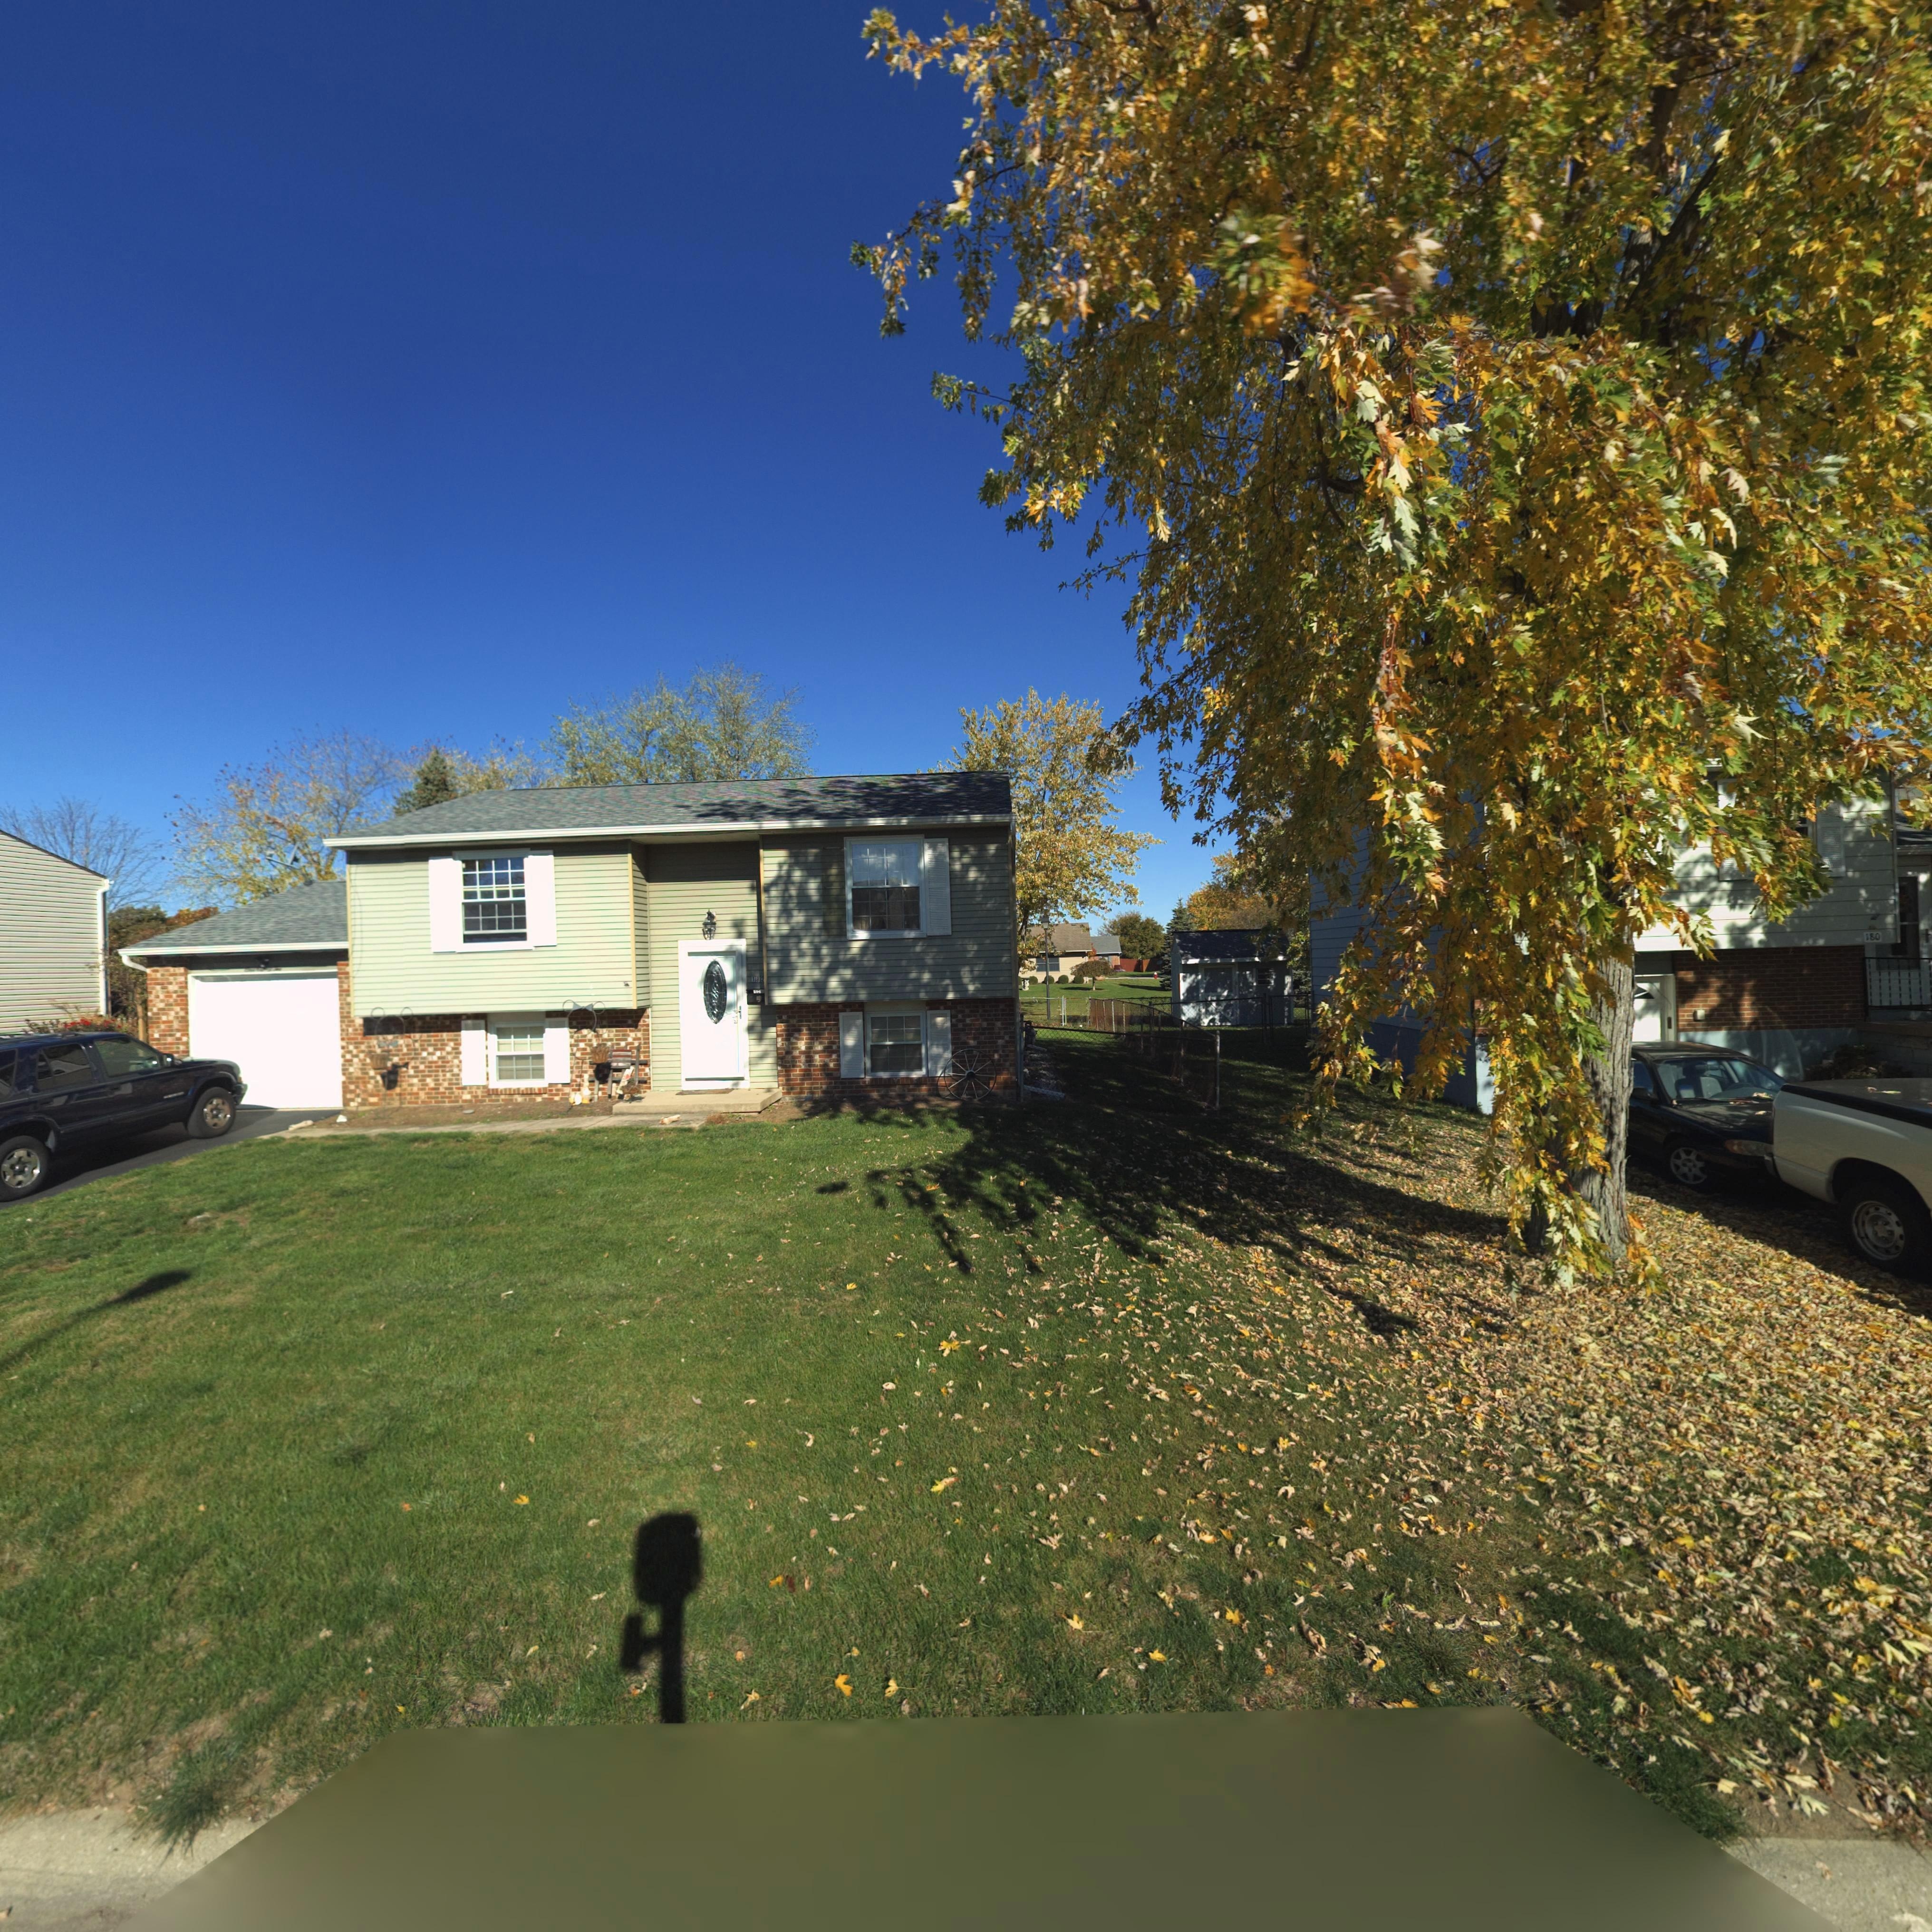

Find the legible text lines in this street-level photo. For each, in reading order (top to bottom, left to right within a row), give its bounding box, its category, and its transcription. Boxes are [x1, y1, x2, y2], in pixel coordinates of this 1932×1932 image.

[752, 976, 764, 983] StreetNumber: 1**